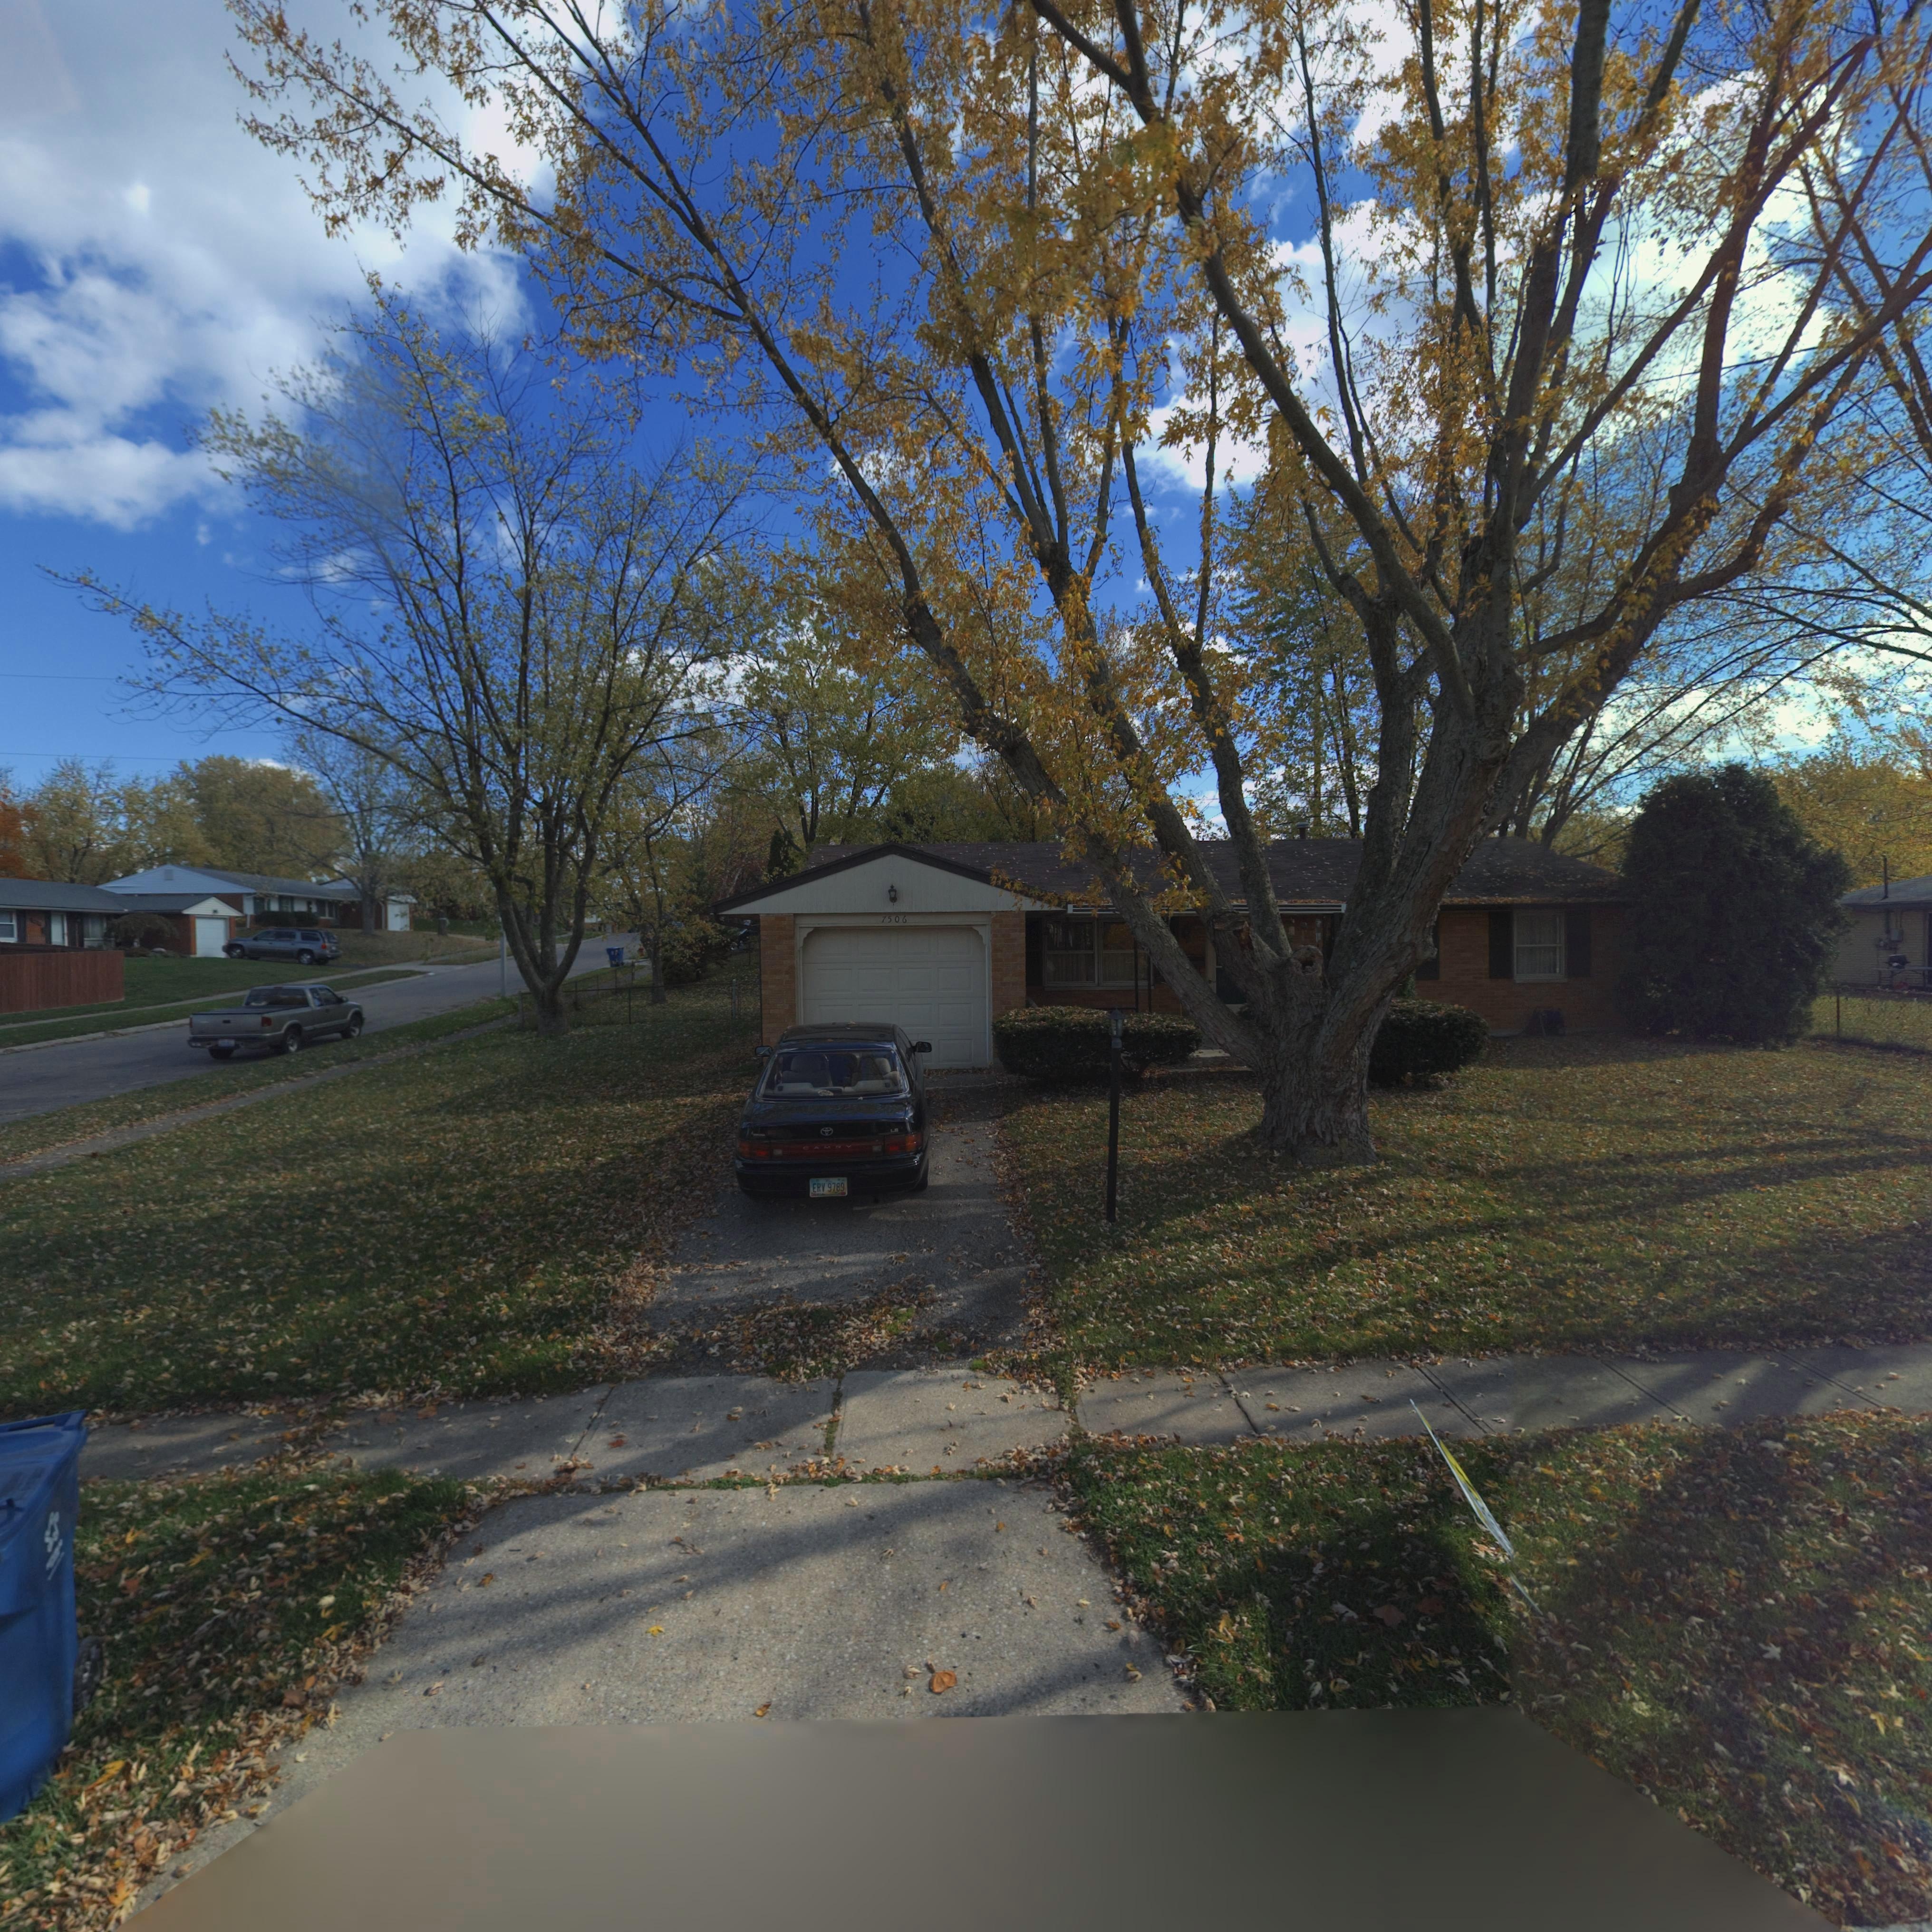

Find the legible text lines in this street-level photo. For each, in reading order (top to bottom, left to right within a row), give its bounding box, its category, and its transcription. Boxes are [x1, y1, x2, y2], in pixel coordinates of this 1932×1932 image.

[881, 915, 907, 924] StreetNumber: 7506